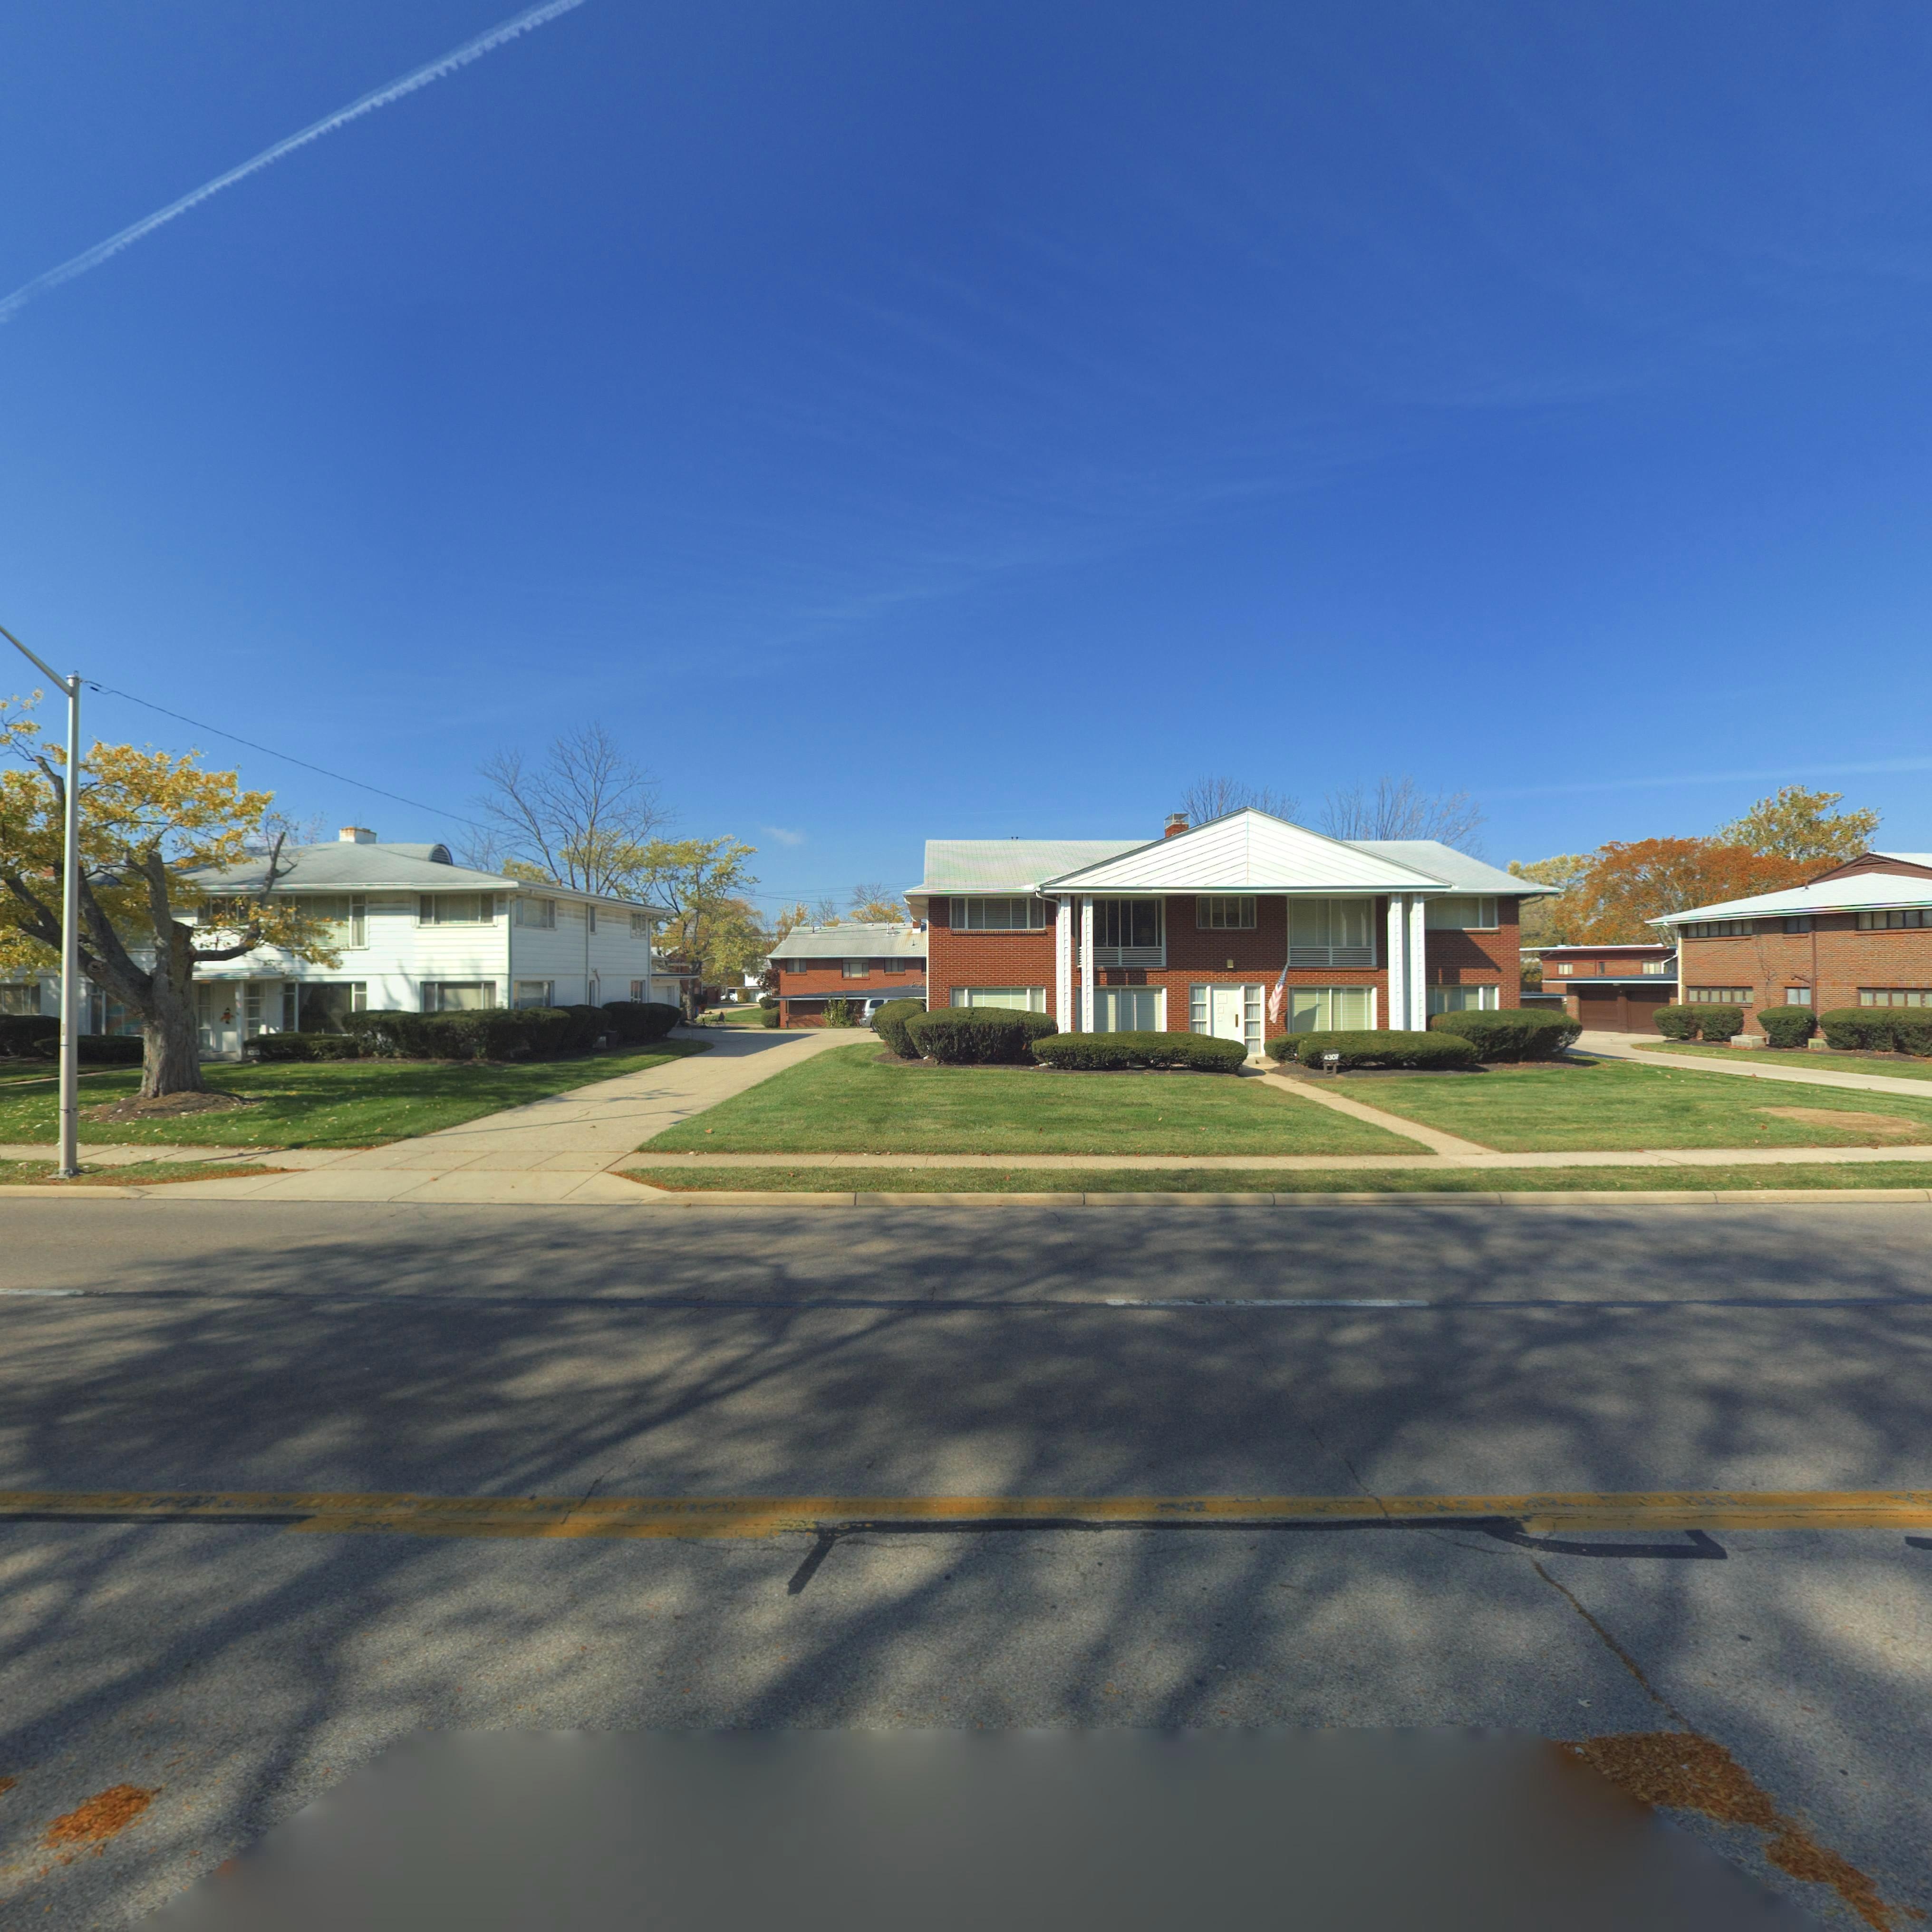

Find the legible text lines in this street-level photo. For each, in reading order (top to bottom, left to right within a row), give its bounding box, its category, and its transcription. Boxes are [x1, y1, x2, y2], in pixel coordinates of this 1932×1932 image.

[1323, 1053, 1340, 1062] StreetNumber: 4307